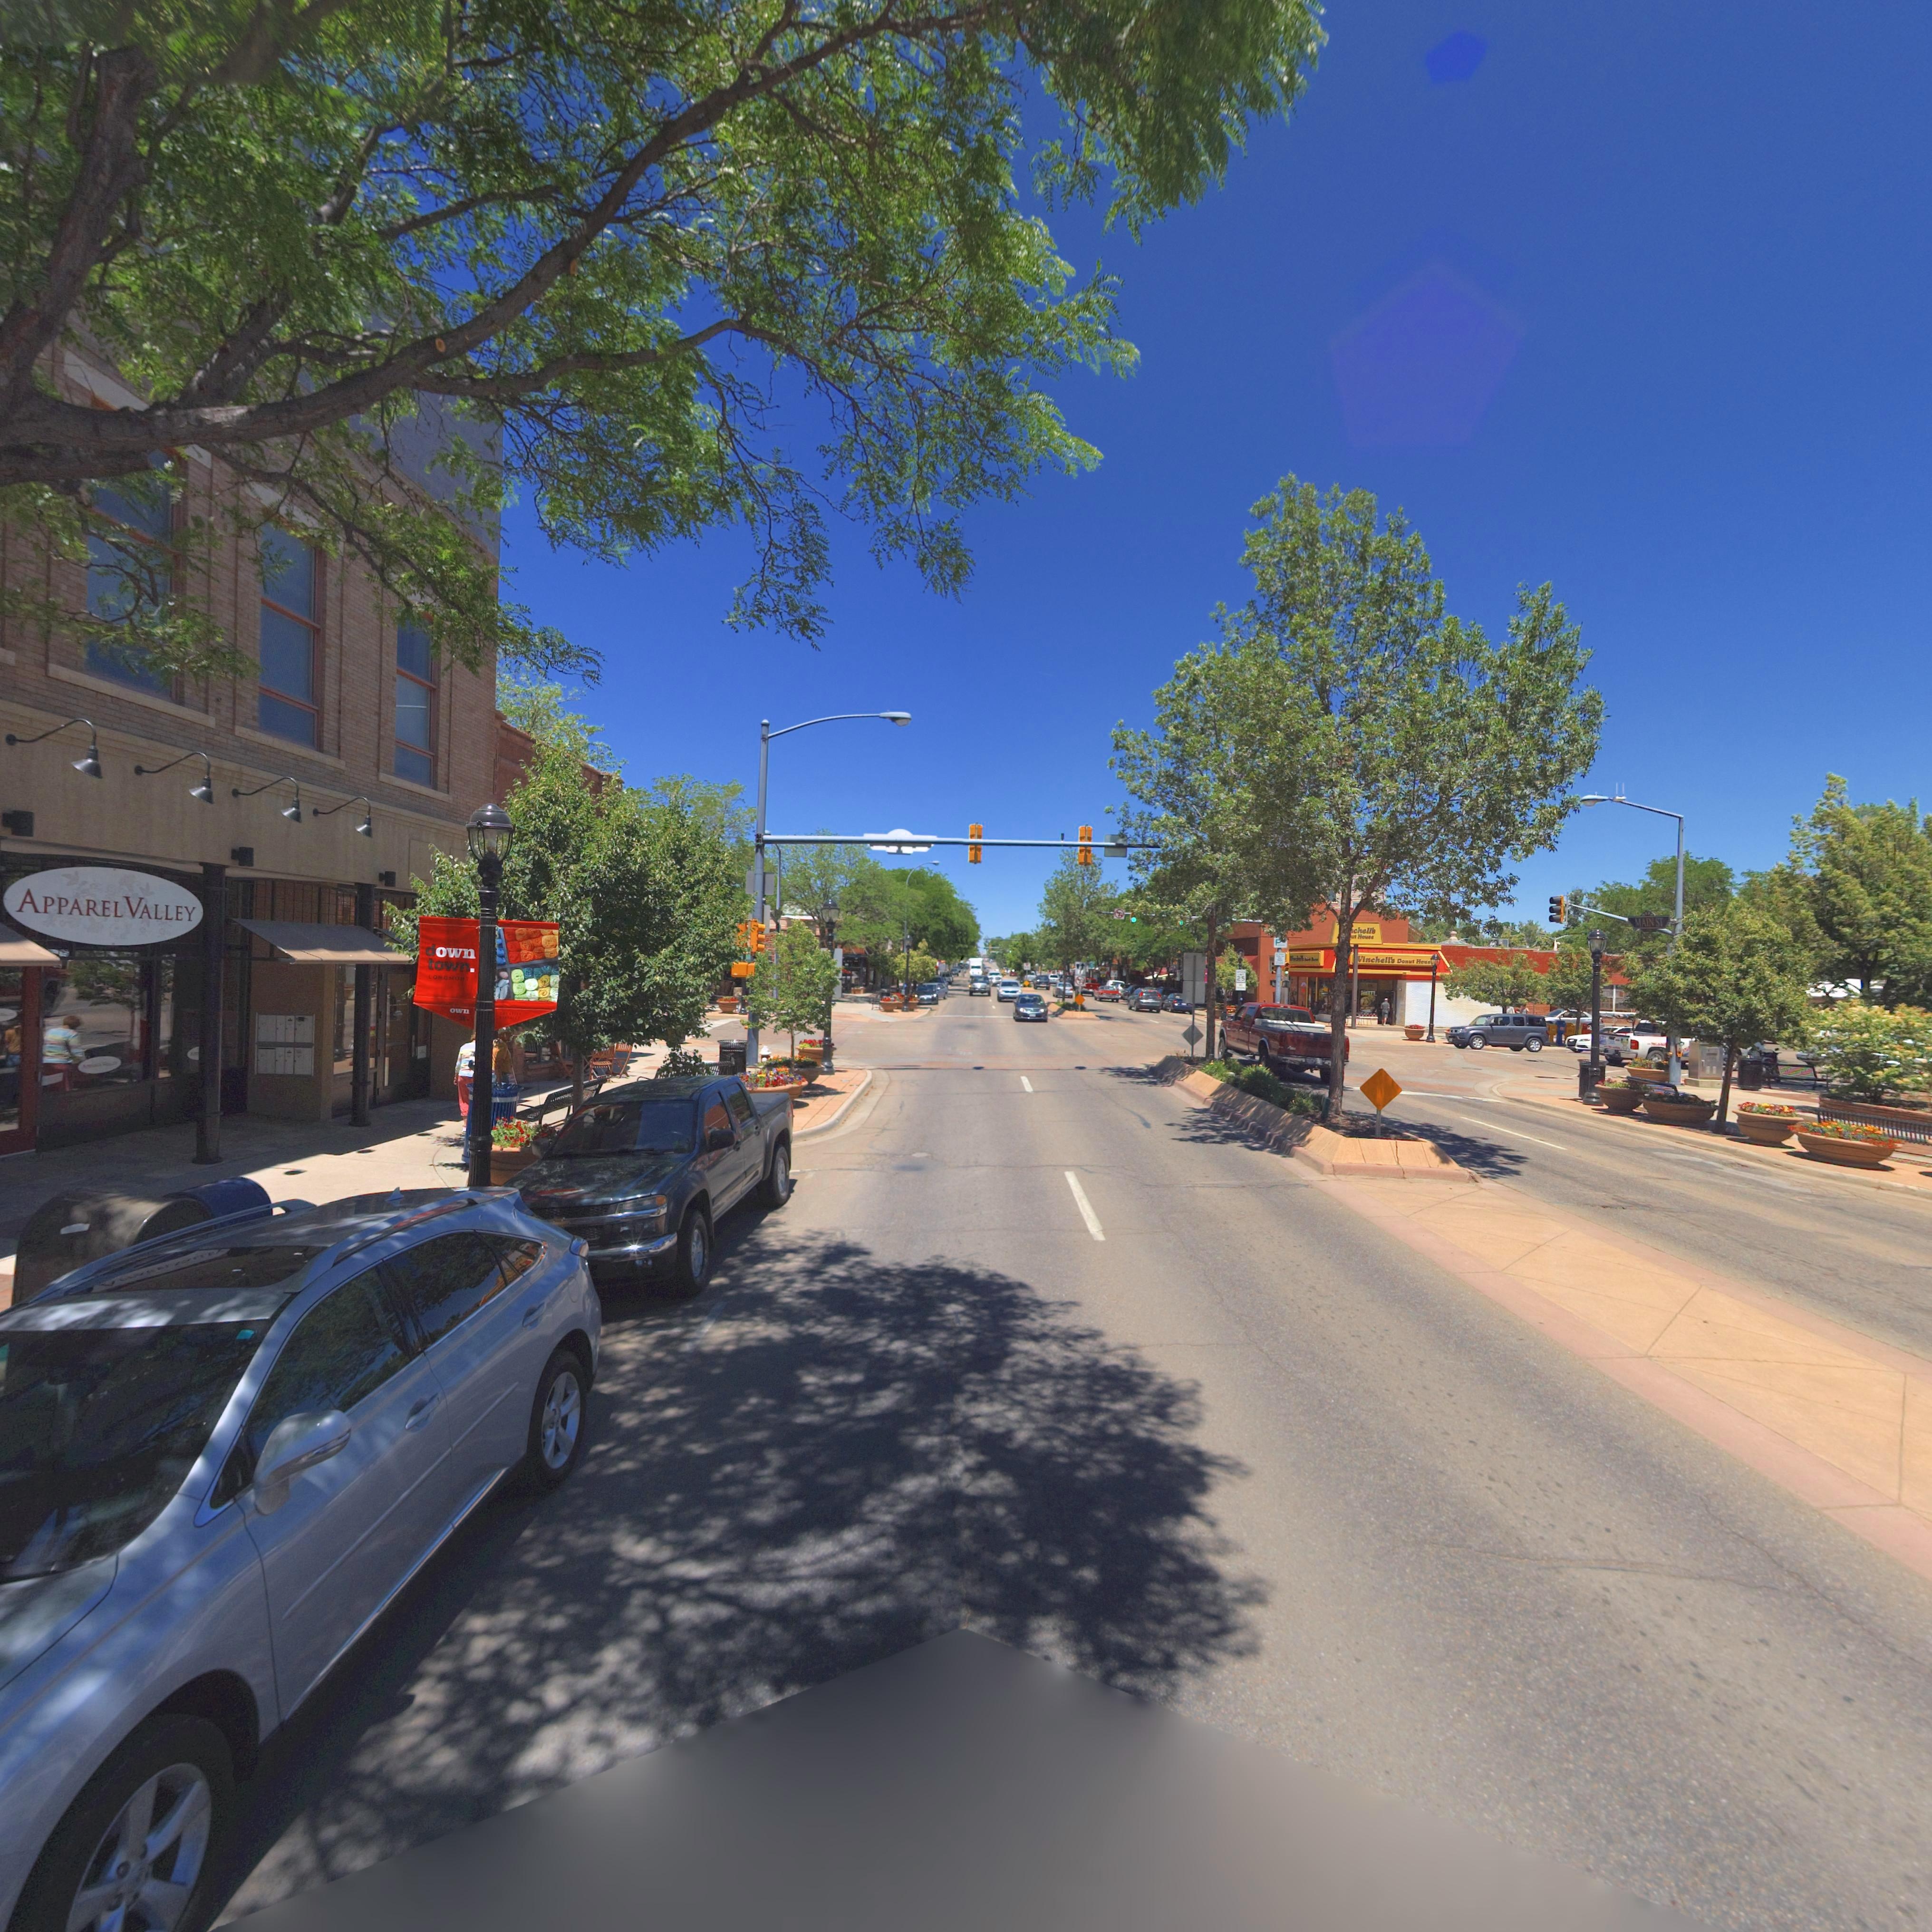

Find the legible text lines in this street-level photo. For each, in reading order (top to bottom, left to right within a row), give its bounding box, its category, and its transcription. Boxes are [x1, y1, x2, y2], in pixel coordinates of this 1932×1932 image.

[14, 888, 197, 922] BusinessName: APPAREL VALLEY
[1634, 917, 1664, 927] StreetName: MAIN ST
[1354, 927, 1375, 935] BusinessName: chell's
[1351, 934, 1374, 939] BusinessName: ut House
[1289, 955, 1318, 961] BusinessName: Winchell's Donut House
[1356, 955, 1430, 964] BusinessName: *inchell's Donut Hous
[81, 1060, 117, 1069] BusinessName: APPAREL VALLEY